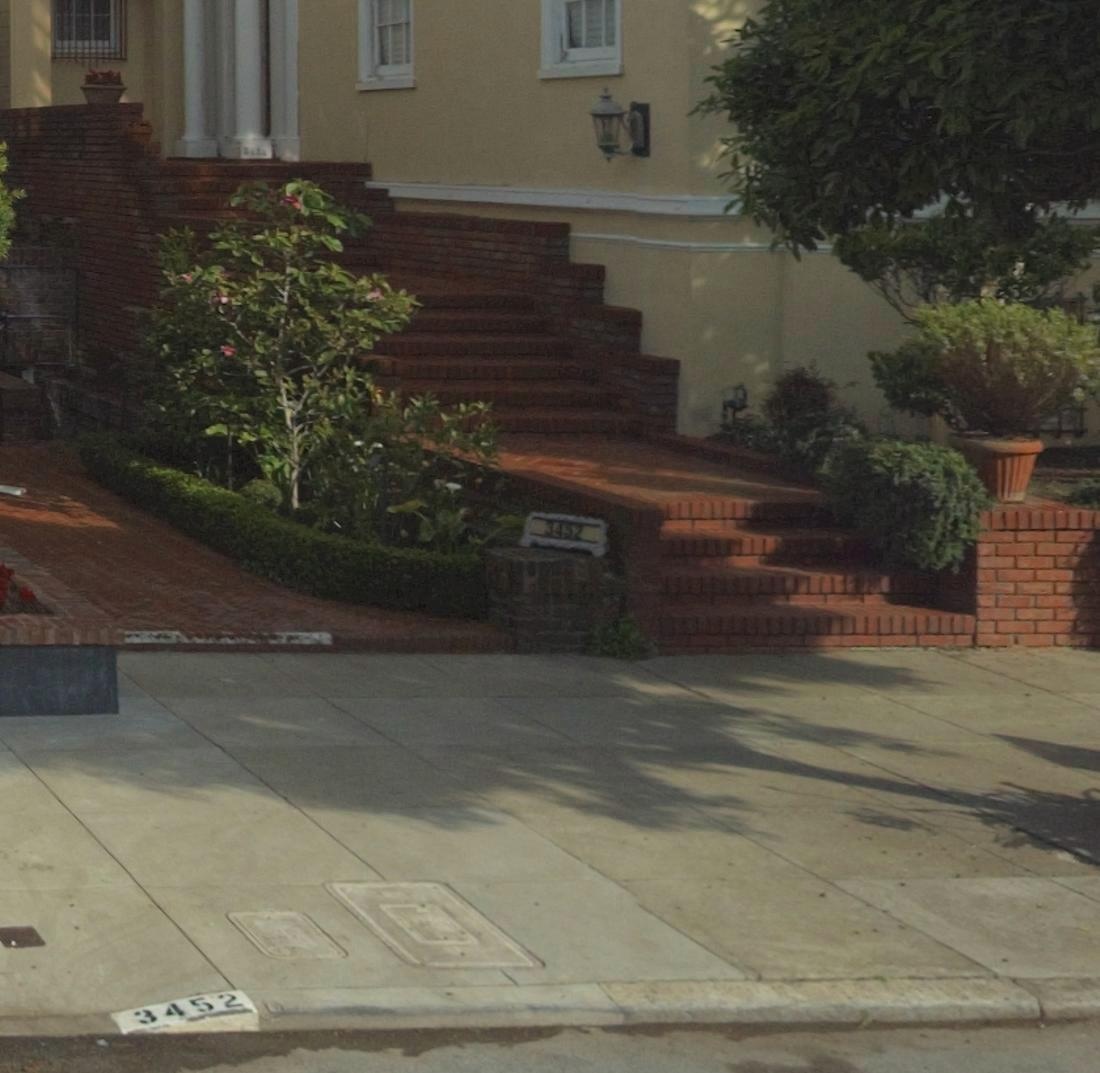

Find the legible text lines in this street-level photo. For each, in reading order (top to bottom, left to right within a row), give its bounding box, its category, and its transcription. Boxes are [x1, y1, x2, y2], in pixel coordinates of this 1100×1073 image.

[541, 516, 587, 544] StreetNumber: 3452
[127, 990, 249, 1029] StreetNumber: 3452